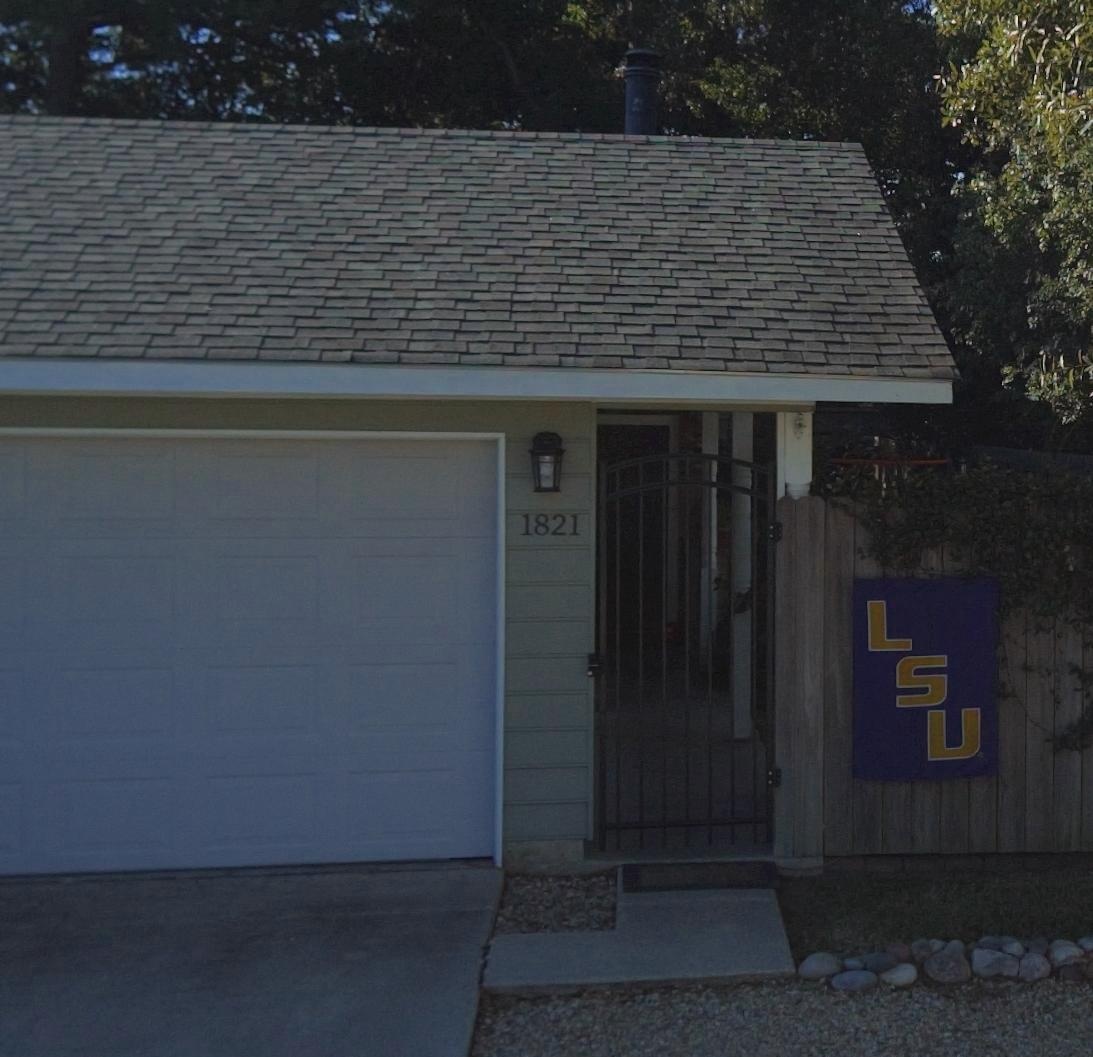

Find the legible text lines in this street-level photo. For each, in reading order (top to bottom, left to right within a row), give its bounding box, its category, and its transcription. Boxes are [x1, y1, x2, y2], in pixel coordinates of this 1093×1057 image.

[519, 511, 582, 538] StreetNumber: 1821
[862, 595, 989, 769] None: LSU